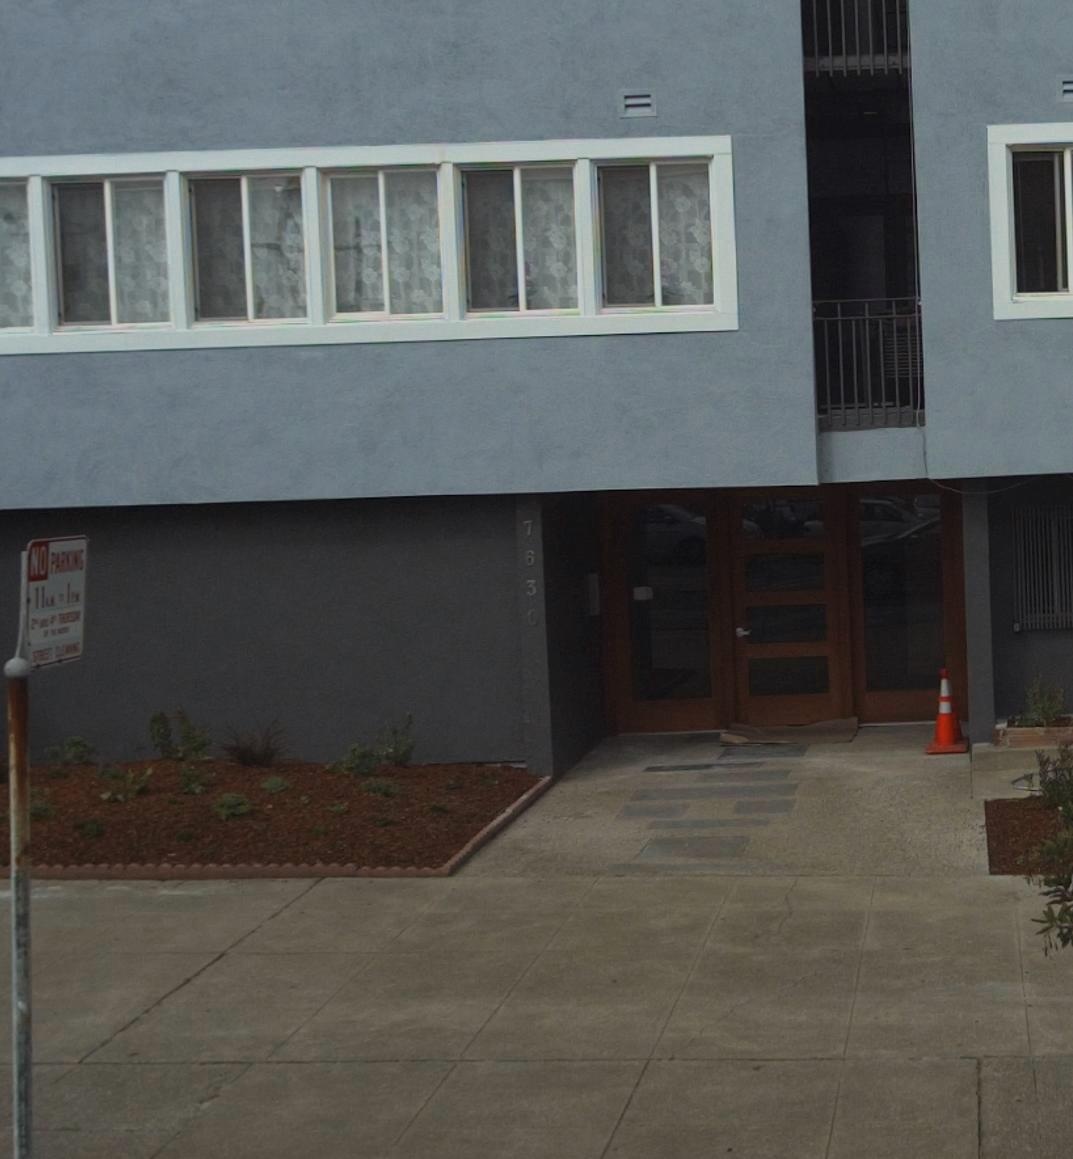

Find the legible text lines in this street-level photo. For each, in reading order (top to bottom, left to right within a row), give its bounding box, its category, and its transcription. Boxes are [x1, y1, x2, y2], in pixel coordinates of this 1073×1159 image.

[28, 544, 86, 579] None: NO PARKING
[519, 518, 541, 630] StreetNumber: 7630
[32, 580, 84, 612] None: 11AM * 1PM